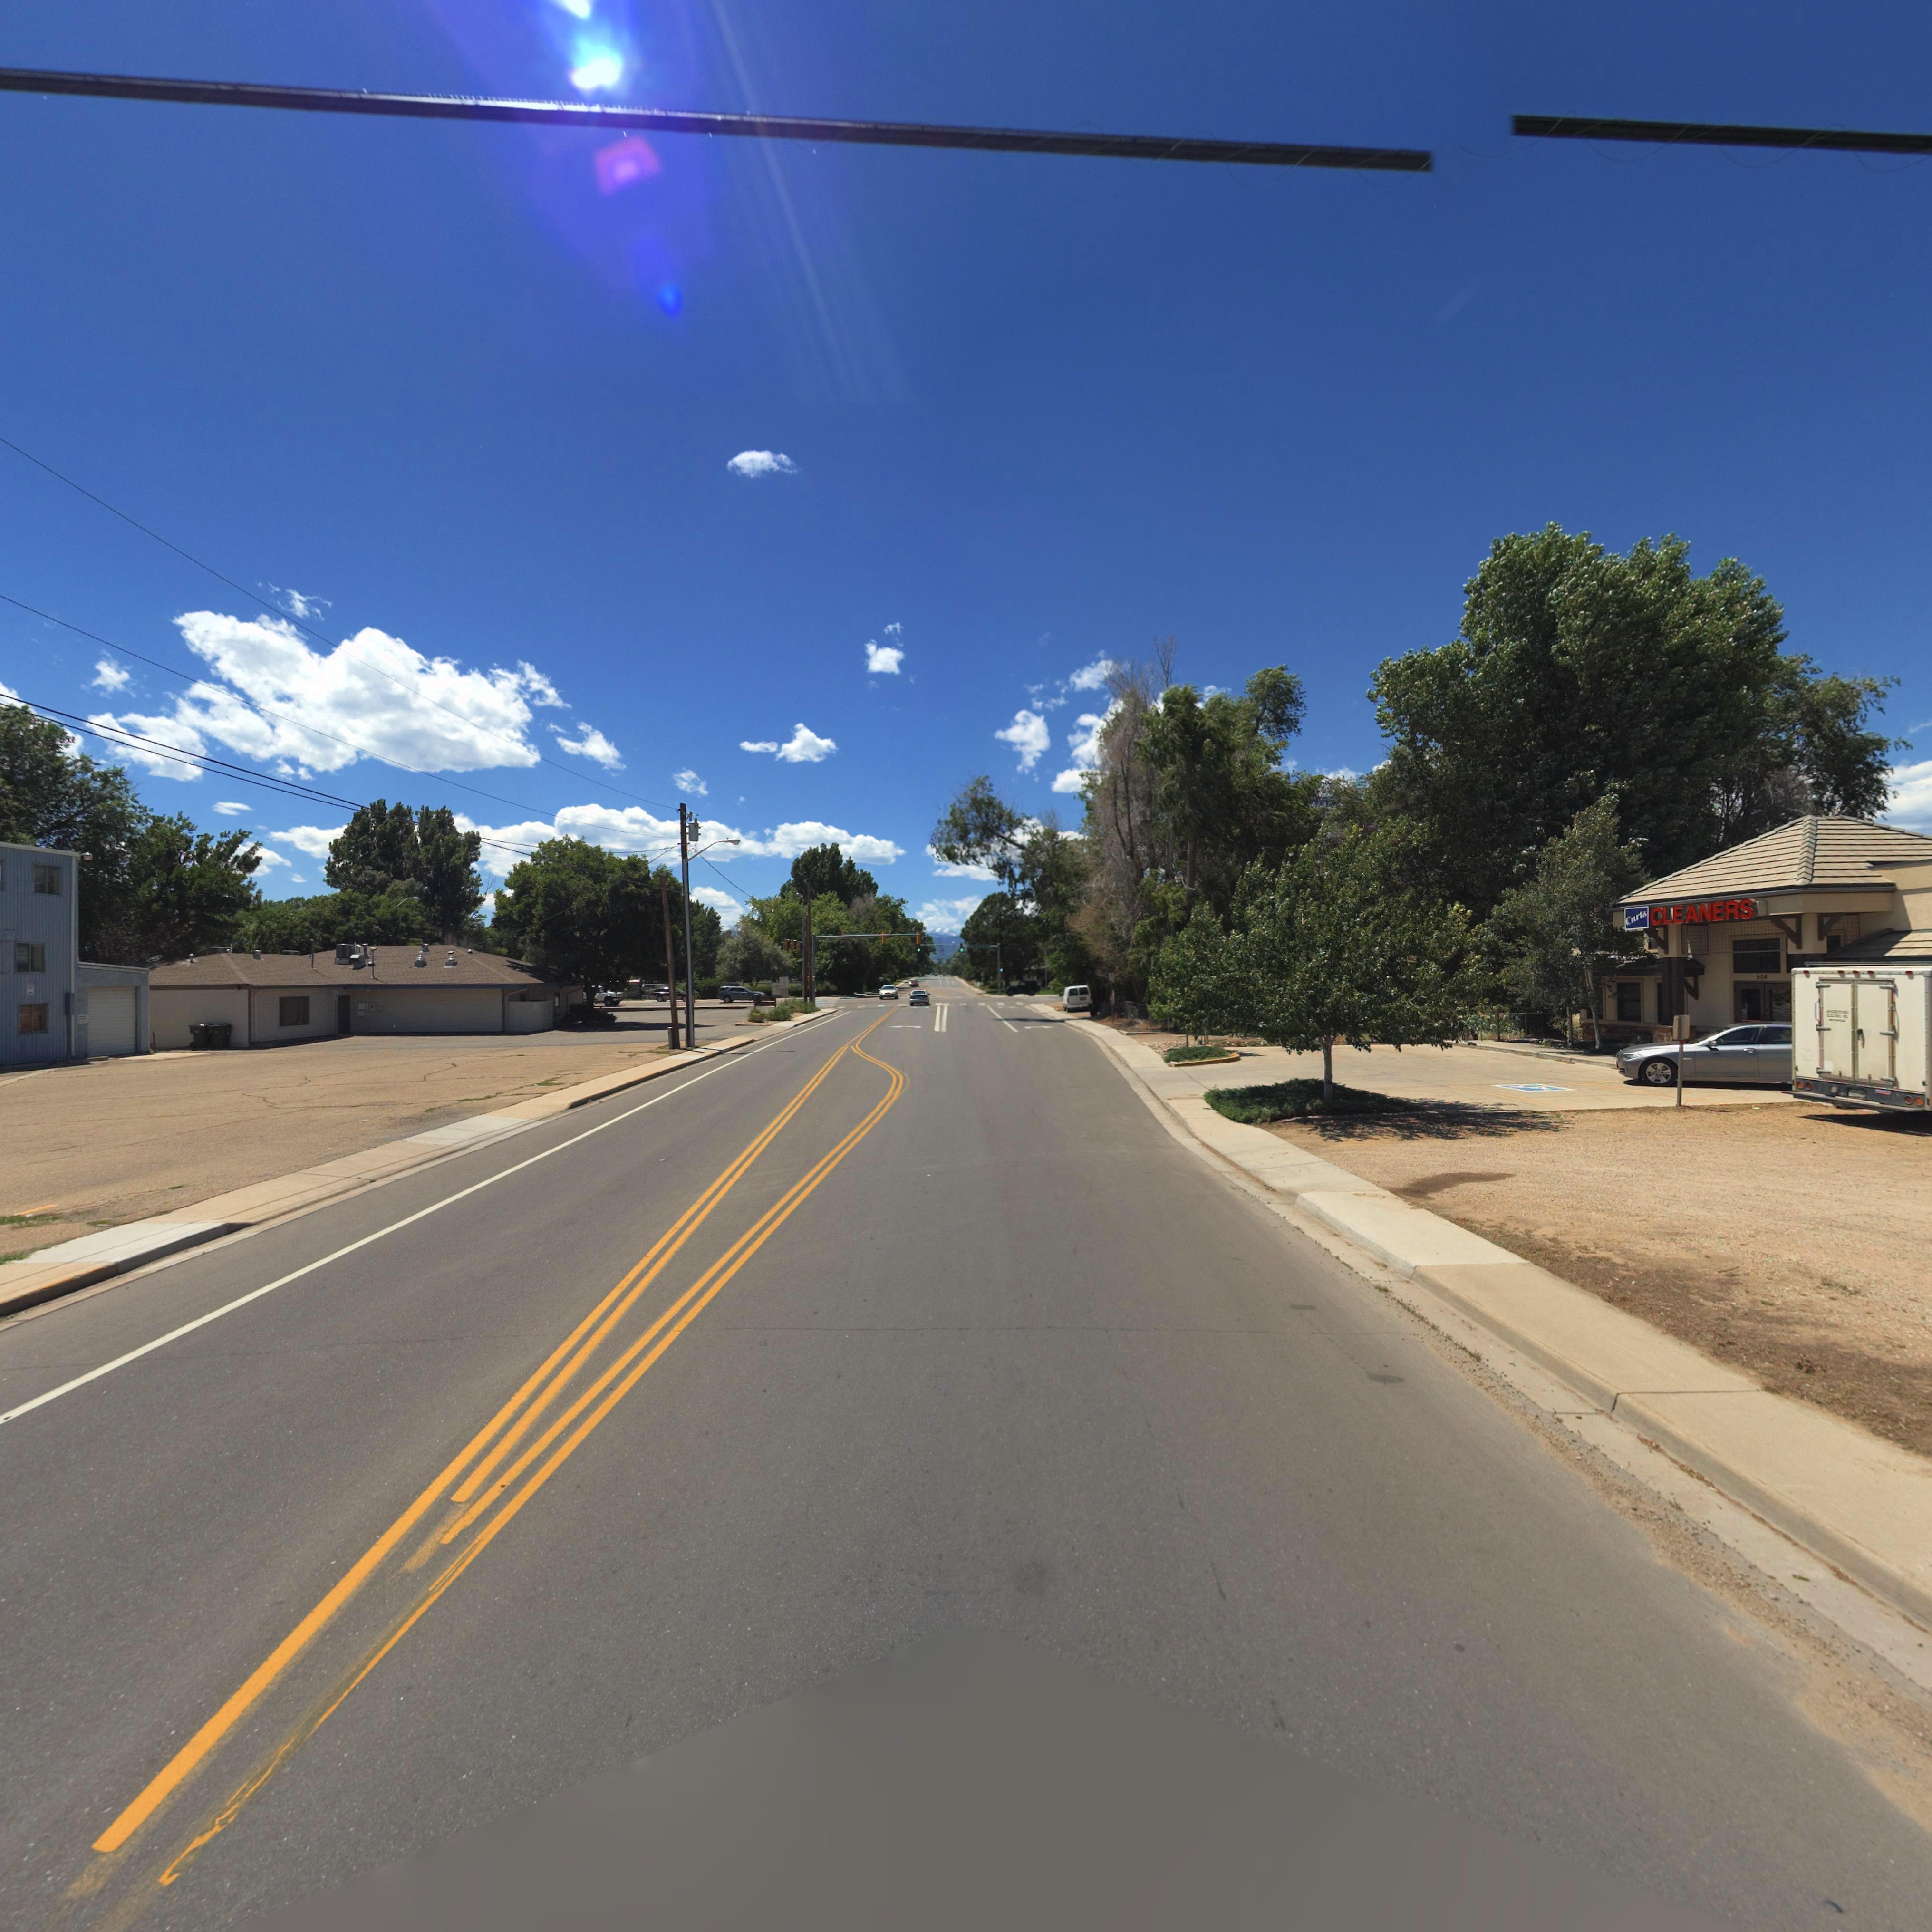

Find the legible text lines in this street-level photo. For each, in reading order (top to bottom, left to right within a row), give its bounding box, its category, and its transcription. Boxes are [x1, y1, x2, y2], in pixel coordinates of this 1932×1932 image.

[1625, 910, 1647, 926] BusinessName: Curts
[1650, 898, 1758, 926] BusinessName: CLEANERS
[1756, 974, 1768, 979] StreetNumber: 504